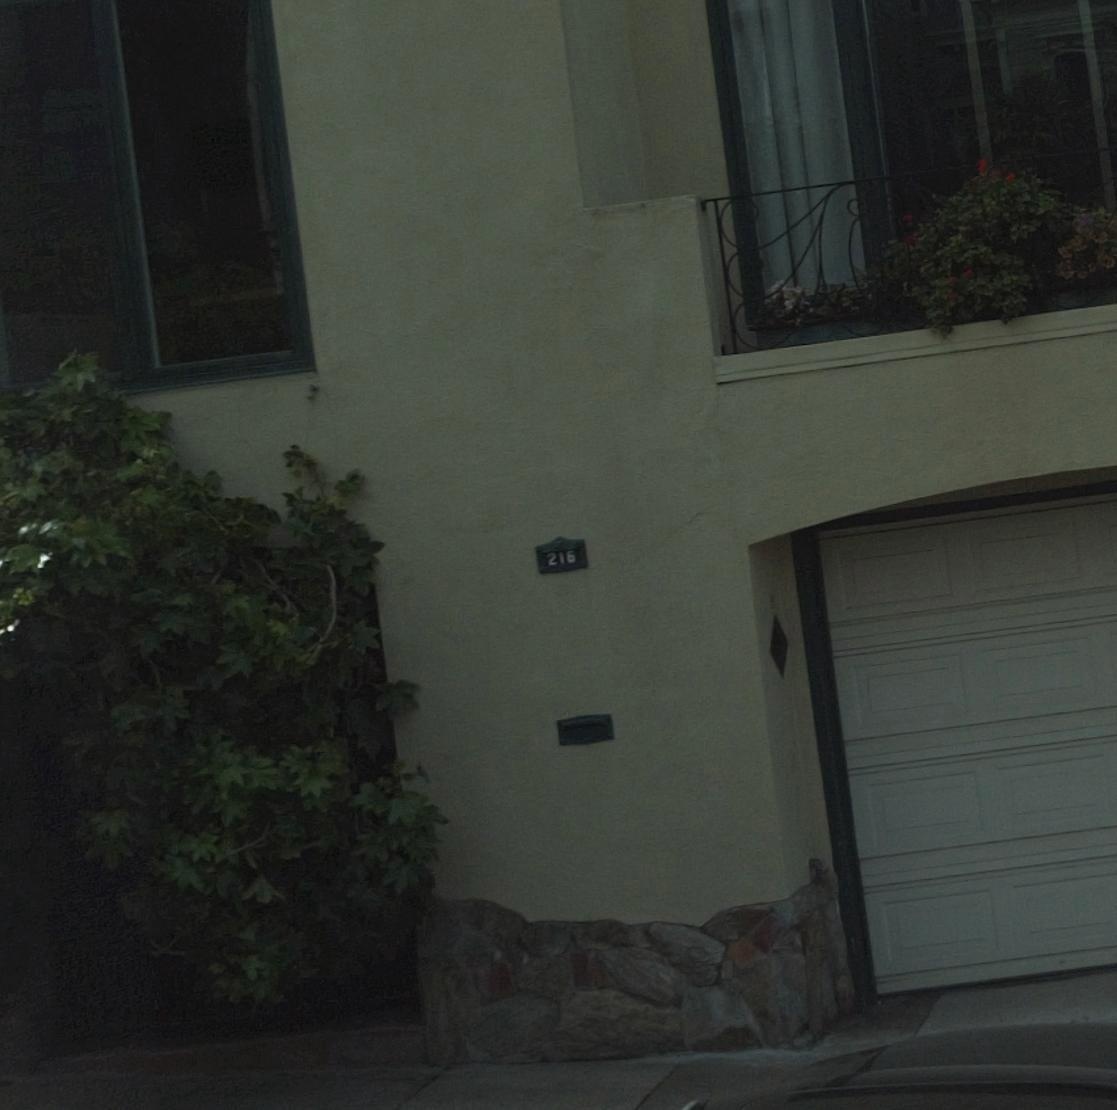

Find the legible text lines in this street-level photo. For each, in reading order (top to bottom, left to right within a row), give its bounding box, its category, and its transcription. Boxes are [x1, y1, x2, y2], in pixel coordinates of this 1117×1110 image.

[546, 549, 577, 567] StreetNumber: 216